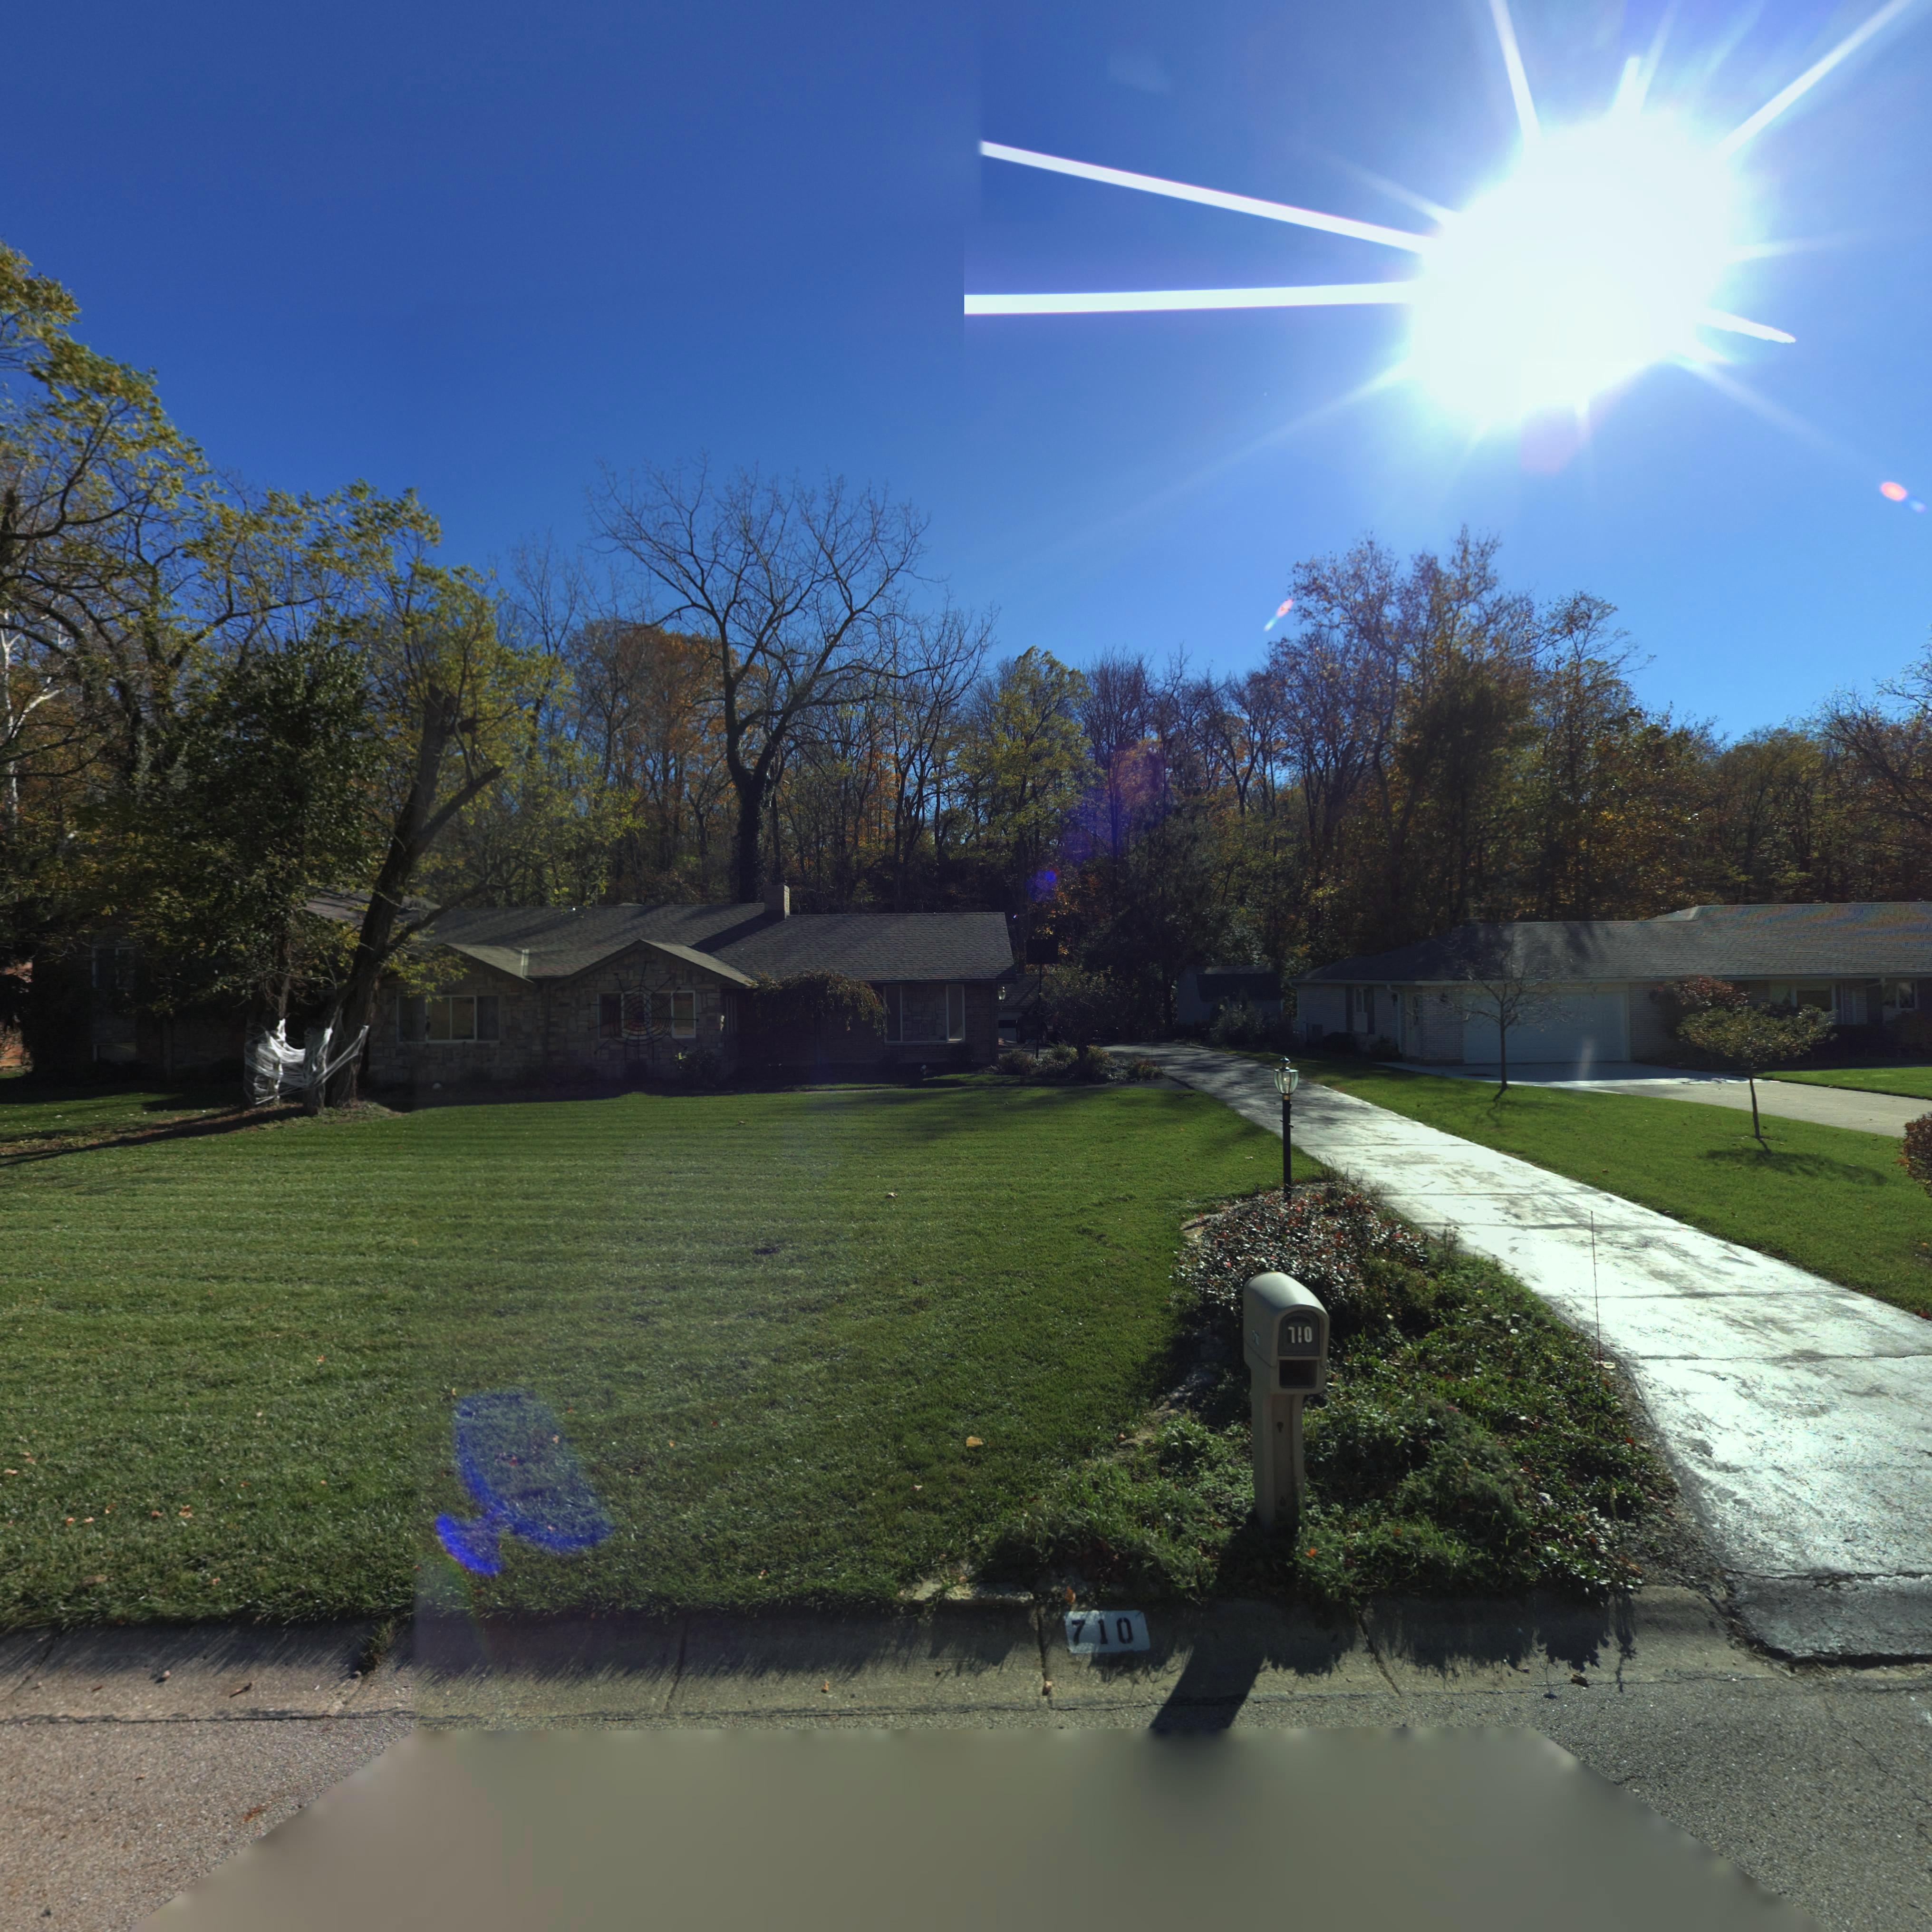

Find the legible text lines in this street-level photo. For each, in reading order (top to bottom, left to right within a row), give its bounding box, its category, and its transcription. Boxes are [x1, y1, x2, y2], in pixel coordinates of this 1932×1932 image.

[1285, 1324, 1314, 1344] StreetNumber: 710
[1069, 1616, 1134, 1647] StreetNumber: 710